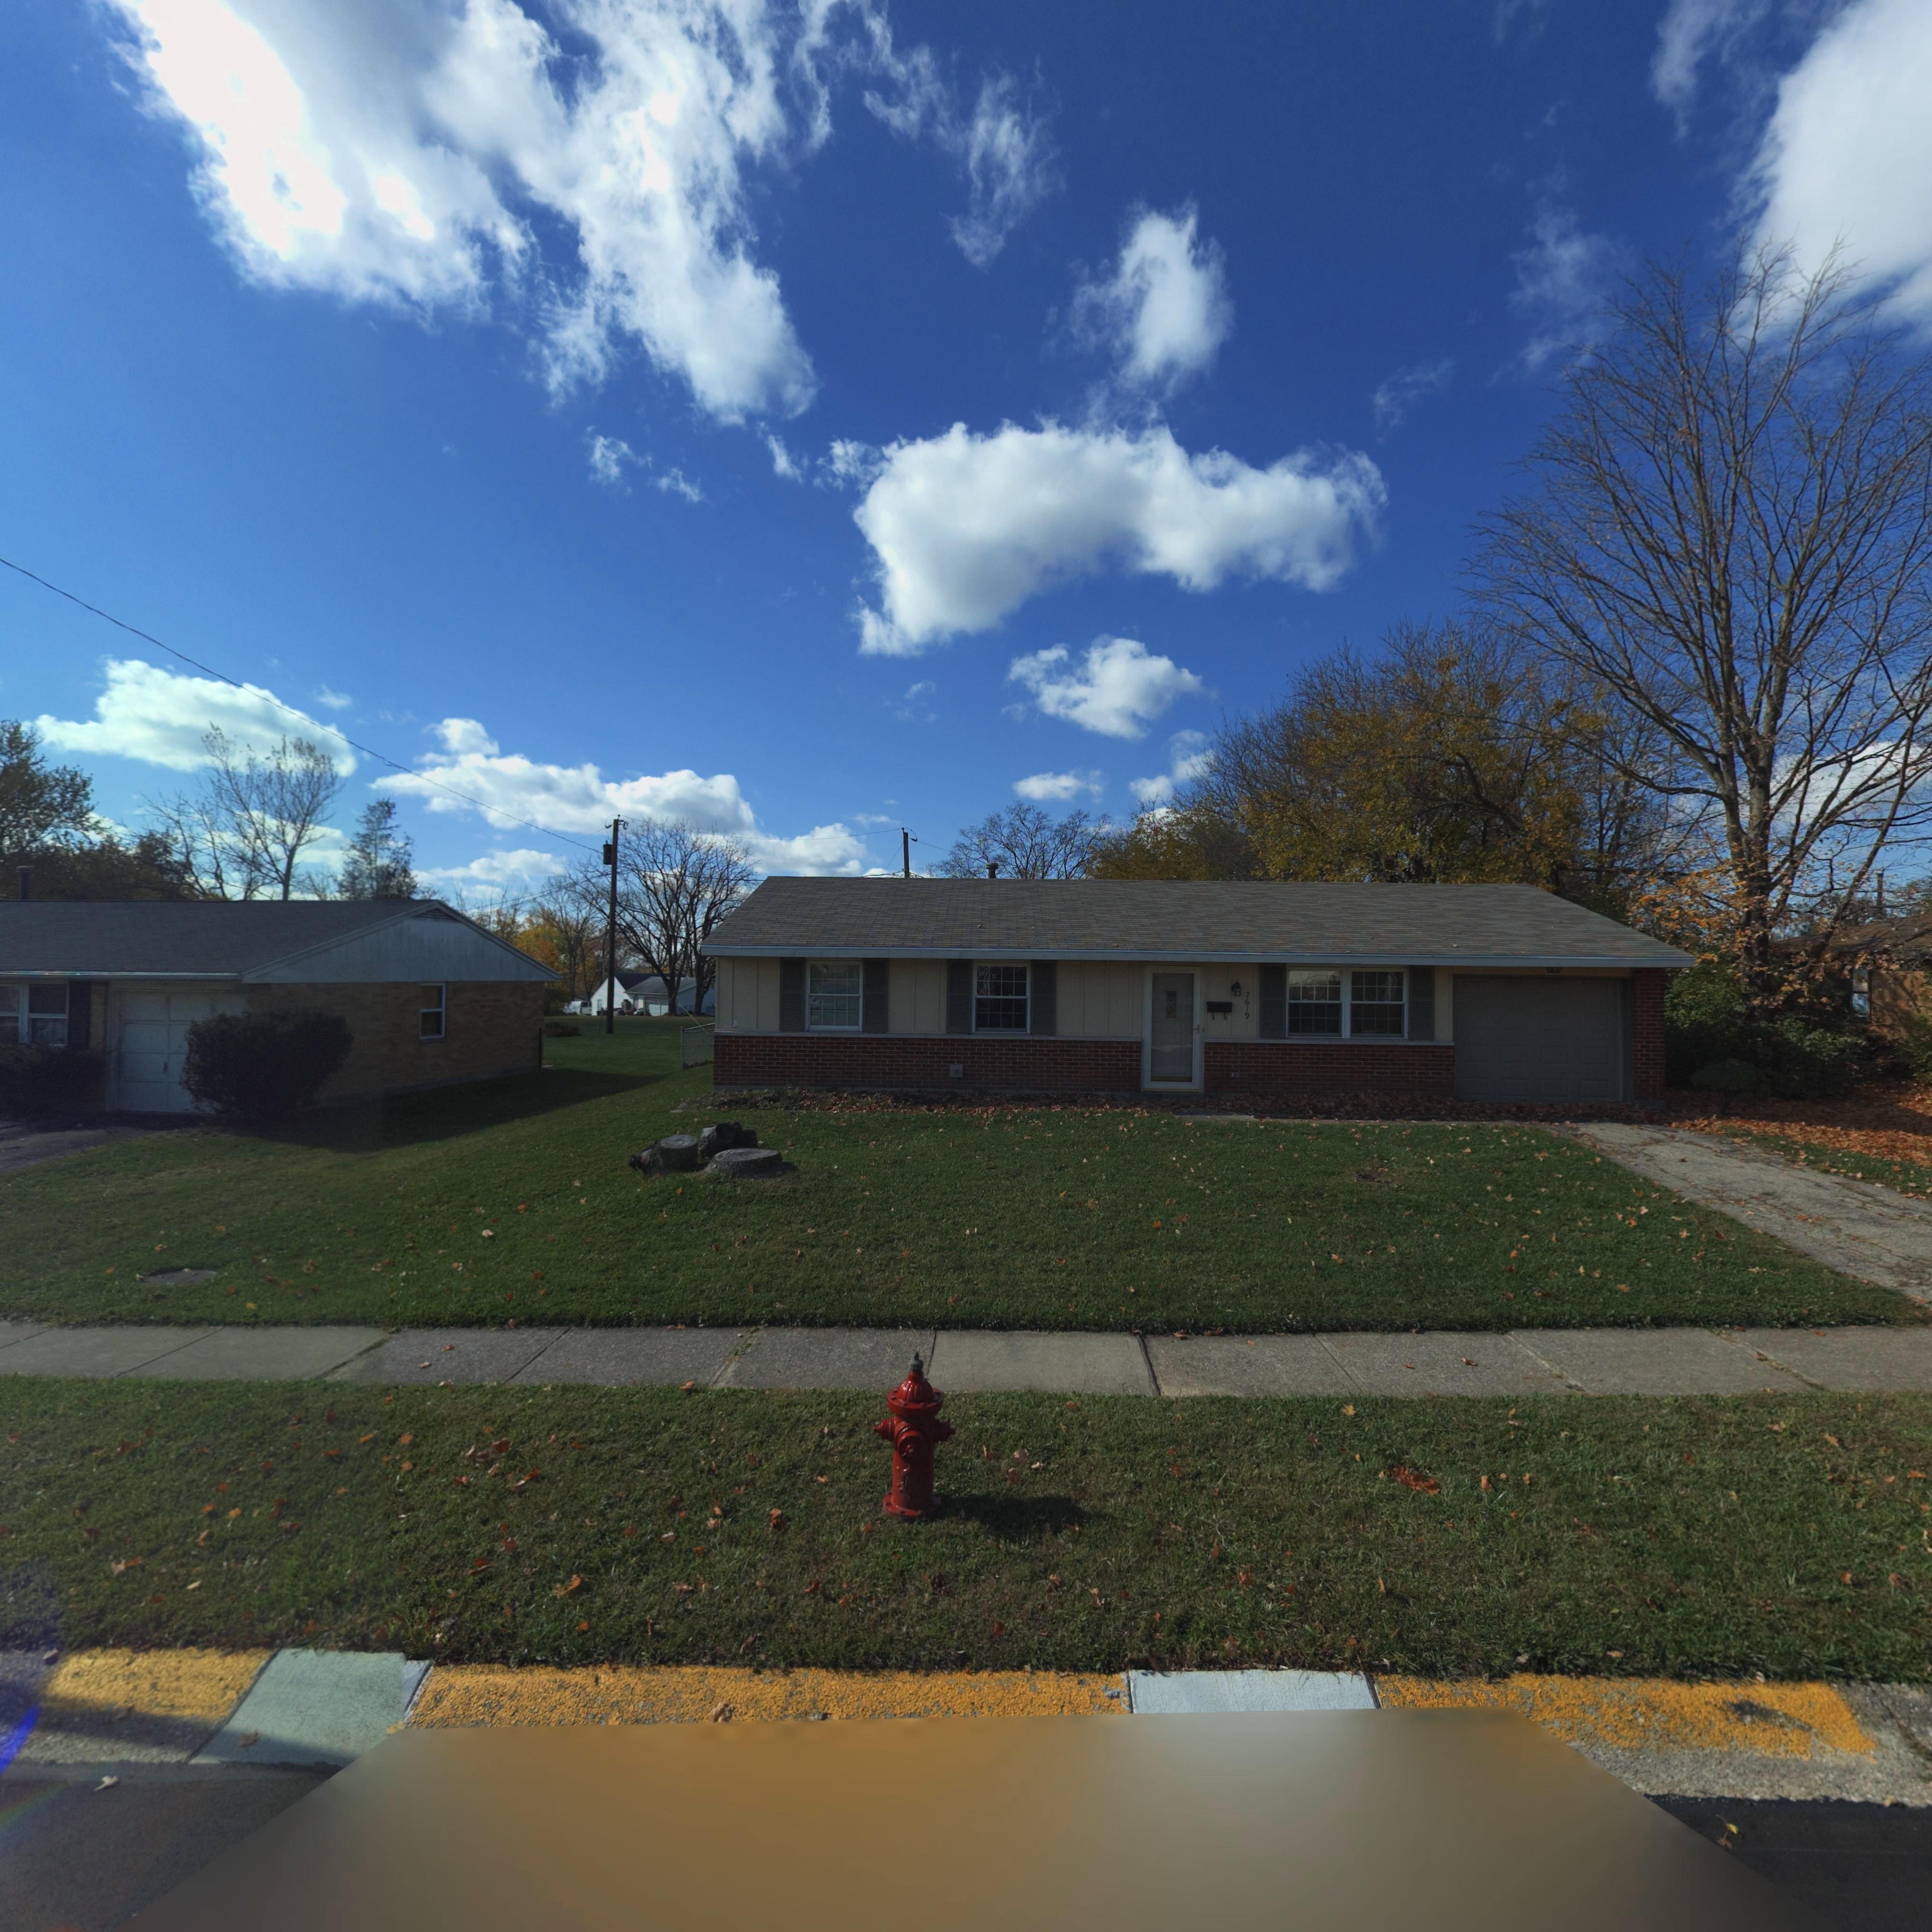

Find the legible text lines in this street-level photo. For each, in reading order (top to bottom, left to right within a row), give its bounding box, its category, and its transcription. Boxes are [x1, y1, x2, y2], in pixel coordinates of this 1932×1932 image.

[1244, 991, 1250, 1020] StreetNumber: 7619